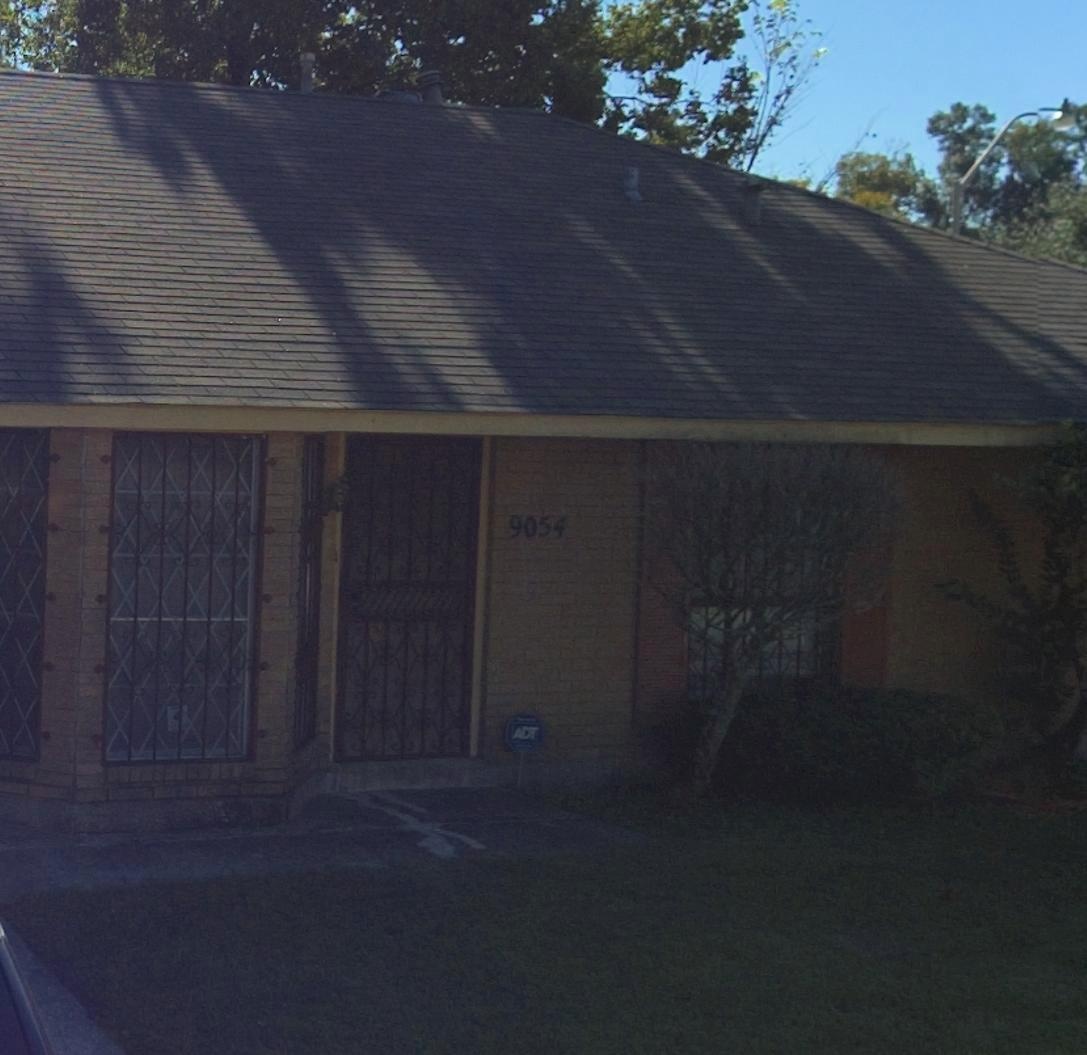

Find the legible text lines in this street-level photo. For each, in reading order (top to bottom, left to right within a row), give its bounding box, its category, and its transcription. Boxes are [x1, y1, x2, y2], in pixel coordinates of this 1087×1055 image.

[507, 513, 567, 541] StreetNumber: 9054
[511, 726, 539, 742] None: ADT